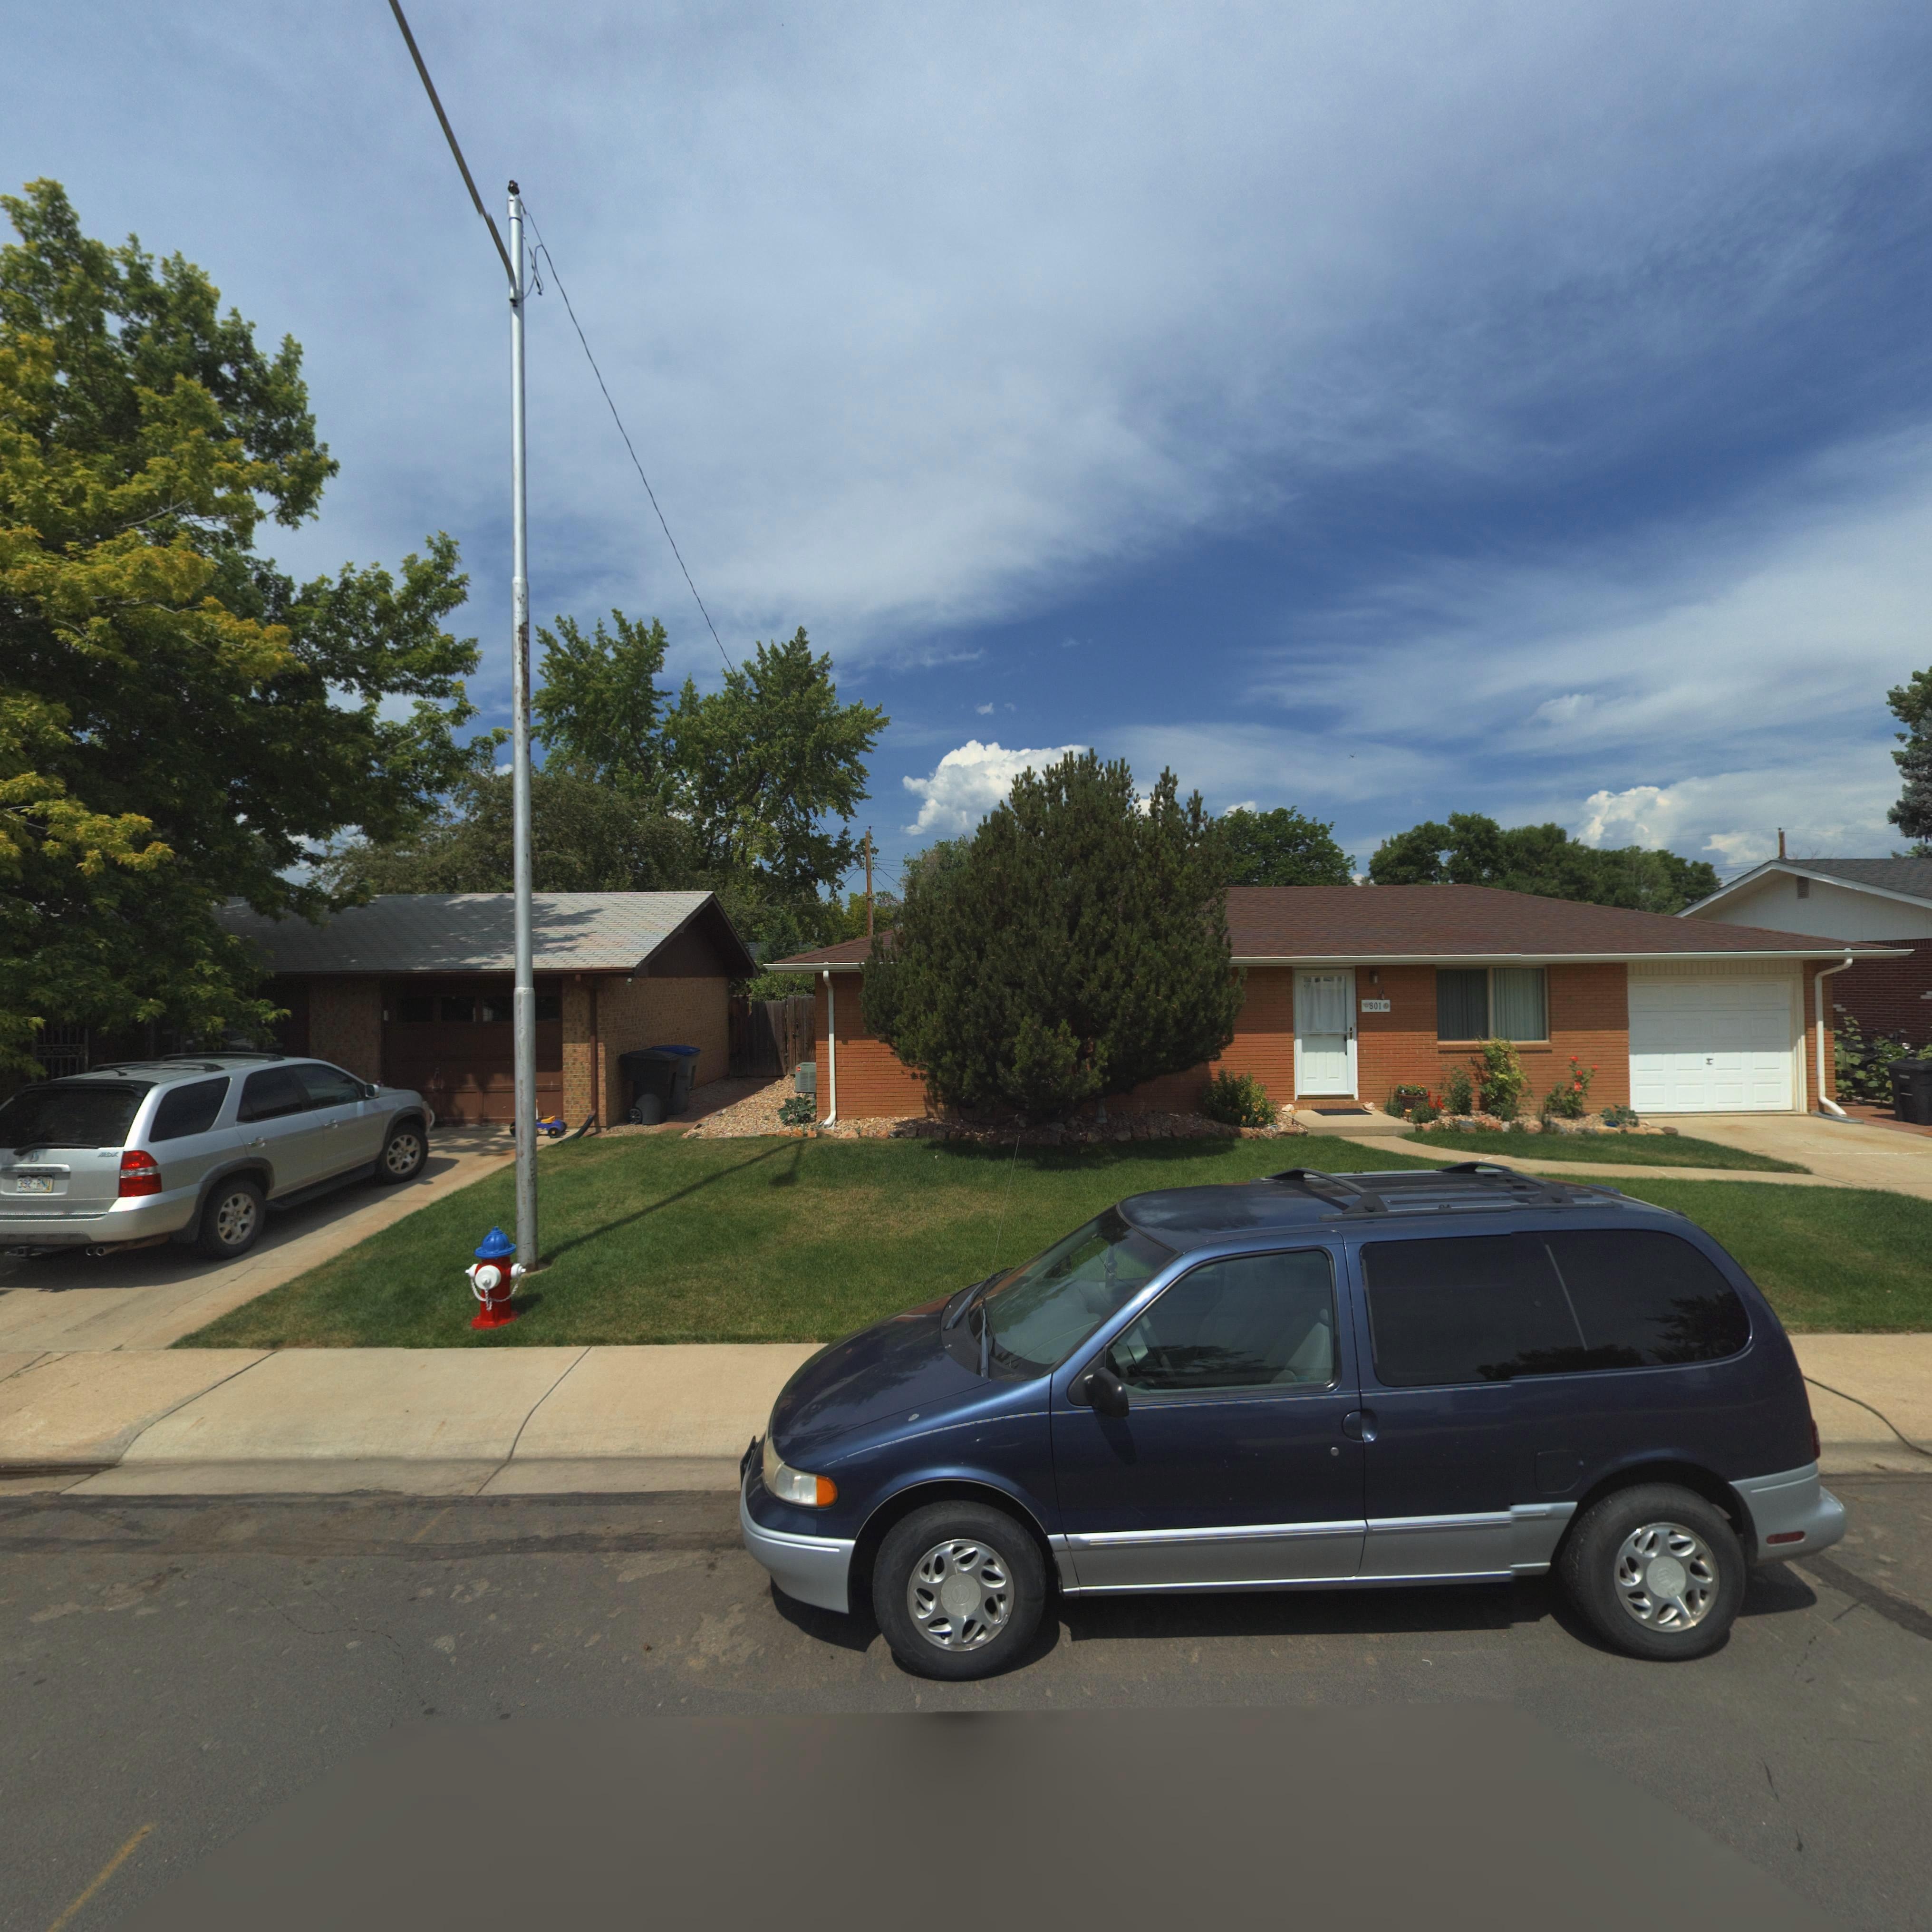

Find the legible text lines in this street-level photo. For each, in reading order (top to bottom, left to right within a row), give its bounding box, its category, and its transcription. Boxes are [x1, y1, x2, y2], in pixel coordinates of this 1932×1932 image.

[1369, 1002, 1381, 1010] StreetNumber: 801